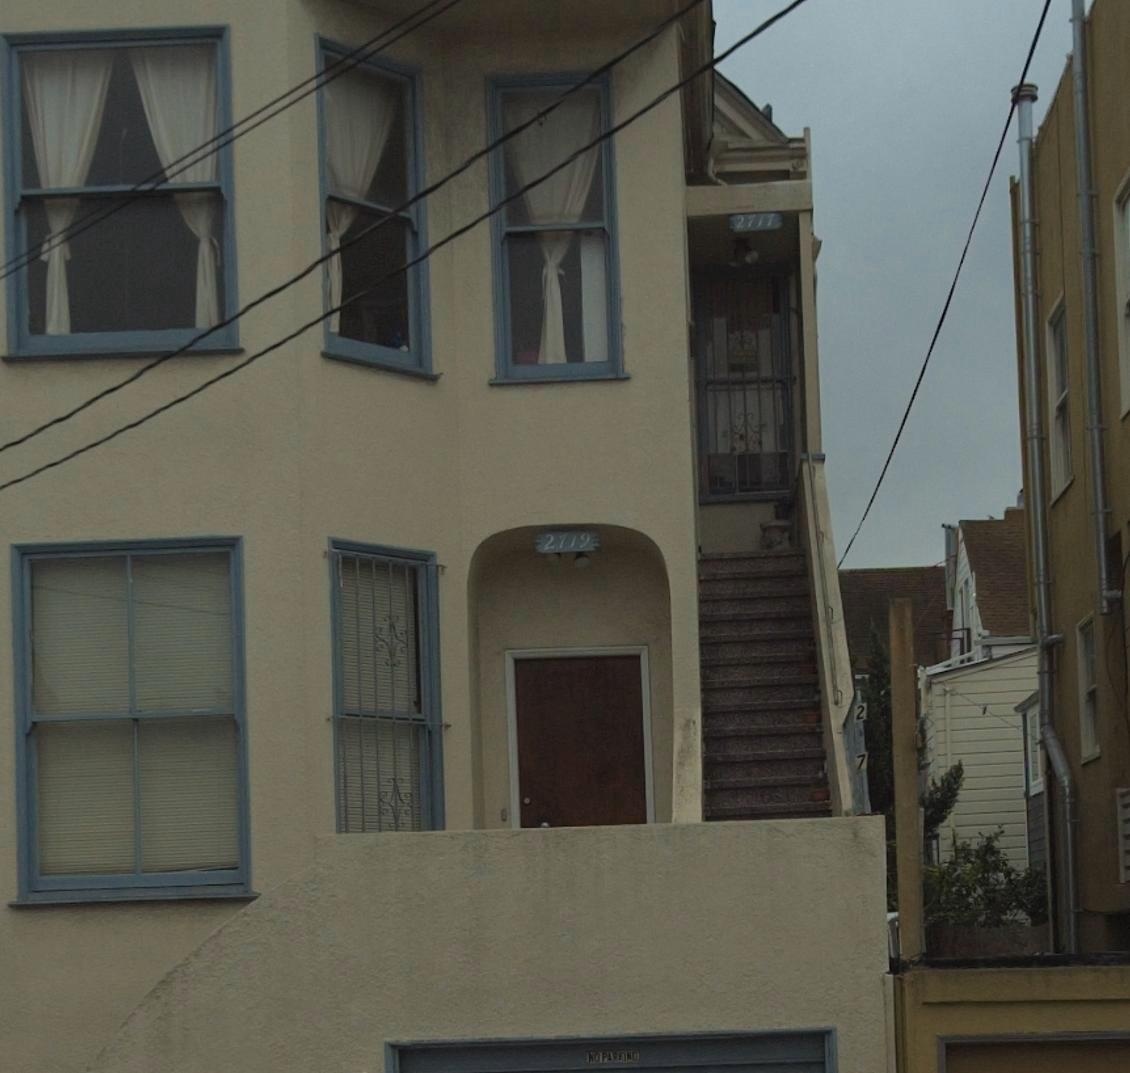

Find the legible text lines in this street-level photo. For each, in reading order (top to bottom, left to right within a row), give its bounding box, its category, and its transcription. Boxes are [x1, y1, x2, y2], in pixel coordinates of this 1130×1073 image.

[734, 212, 776, 230] StreetNumber: 2717
[542, 532, 593, 551] StreetNumber: 2719
[854, 702, 867, 723] StreetNumber: 2
[854, 751, 868, 772] StreetNumber: 7
[587, 1050, 638, 1063] None: NO PARKING